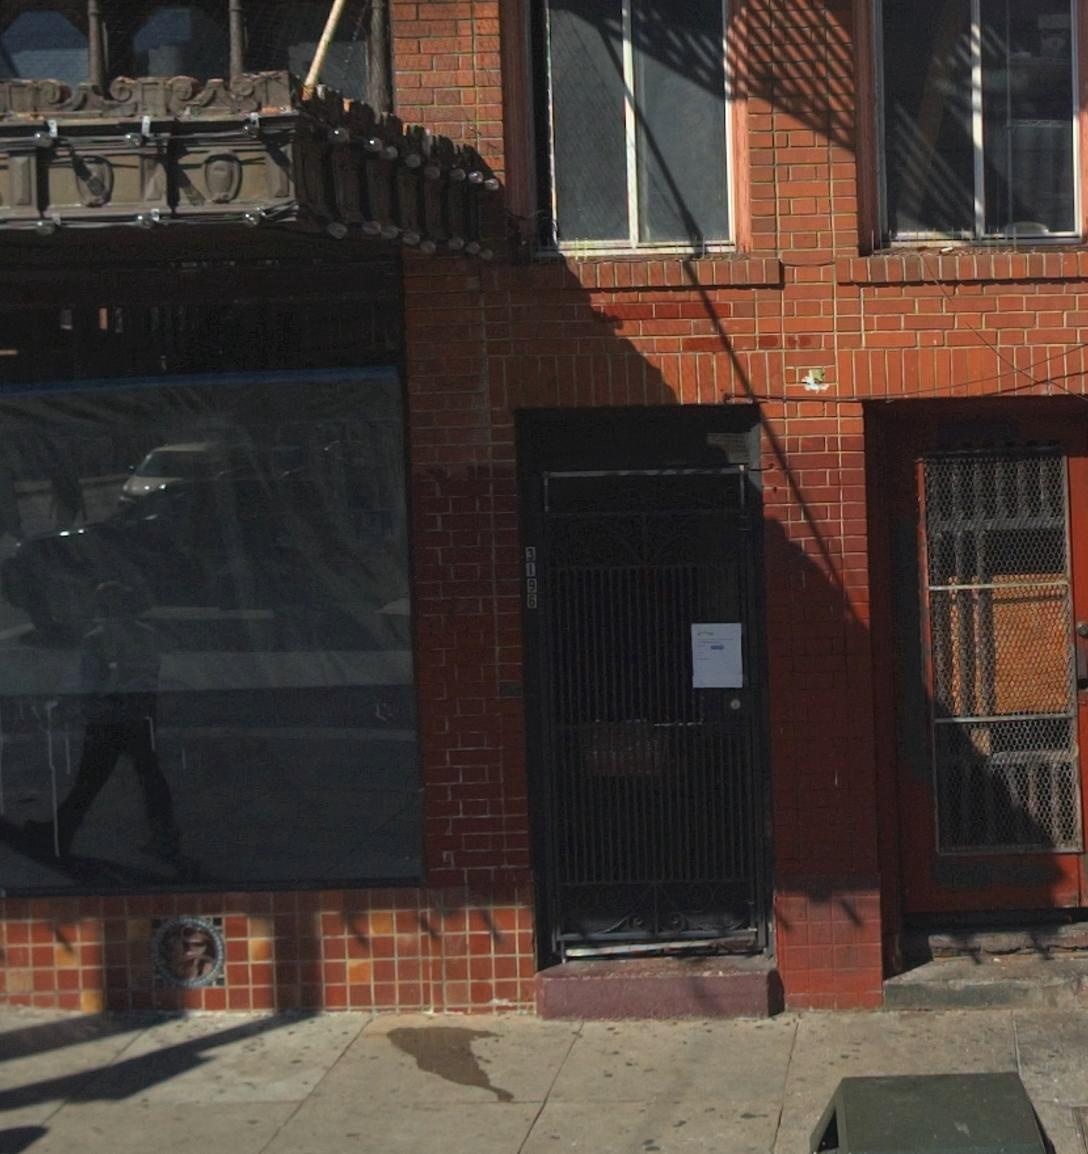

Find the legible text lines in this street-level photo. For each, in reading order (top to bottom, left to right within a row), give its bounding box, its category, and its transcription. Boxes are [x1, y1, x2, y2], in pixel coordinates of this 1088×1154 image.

[526, 546, 537, 608] StreetNumber: 3196